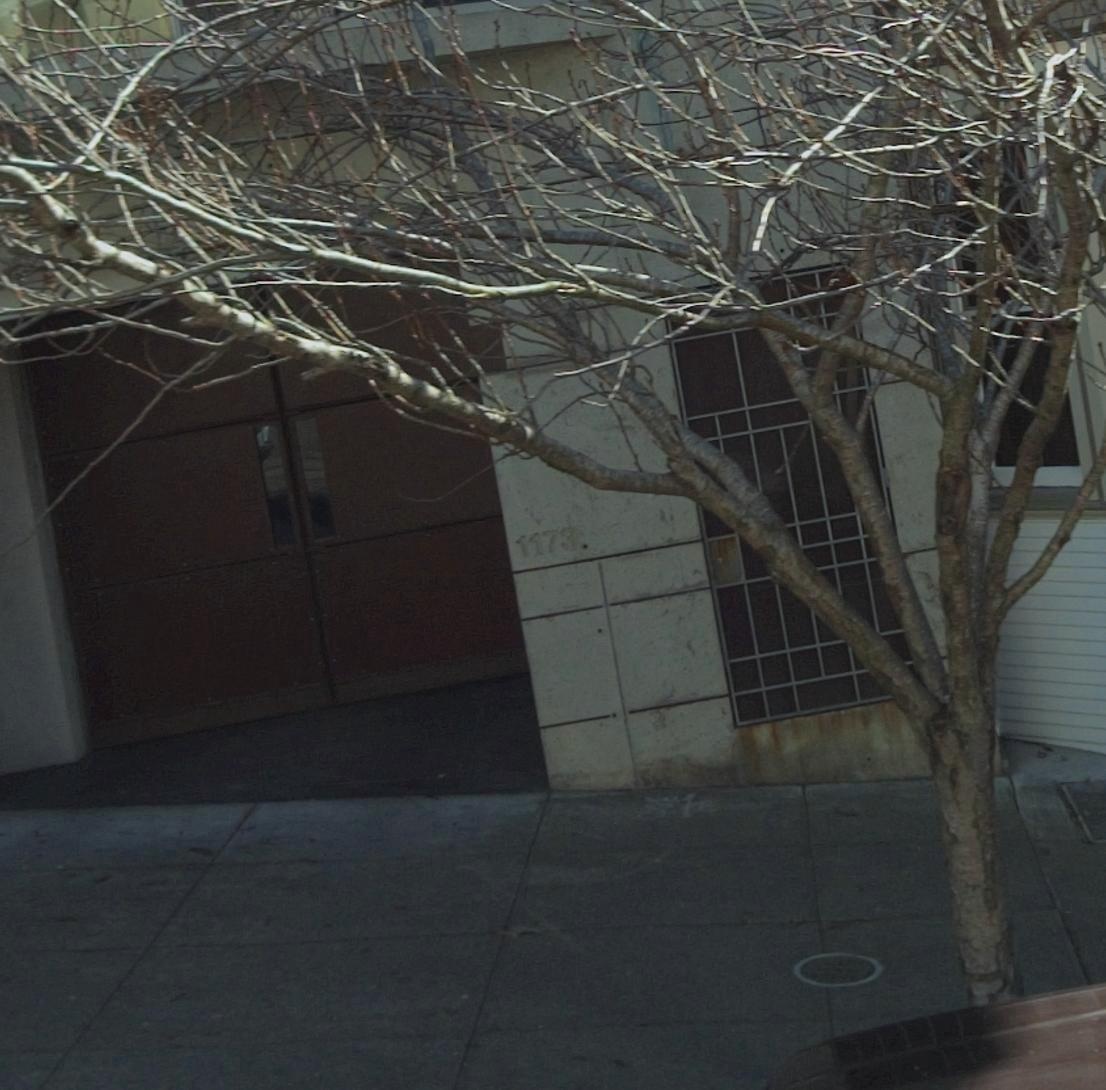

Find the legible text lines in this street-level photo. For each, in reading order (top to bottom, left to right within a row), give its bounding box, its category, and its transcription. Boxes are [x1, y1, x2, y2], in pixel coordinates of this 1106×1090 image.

[513, 524, 580, 561] StreetNumber: 1173